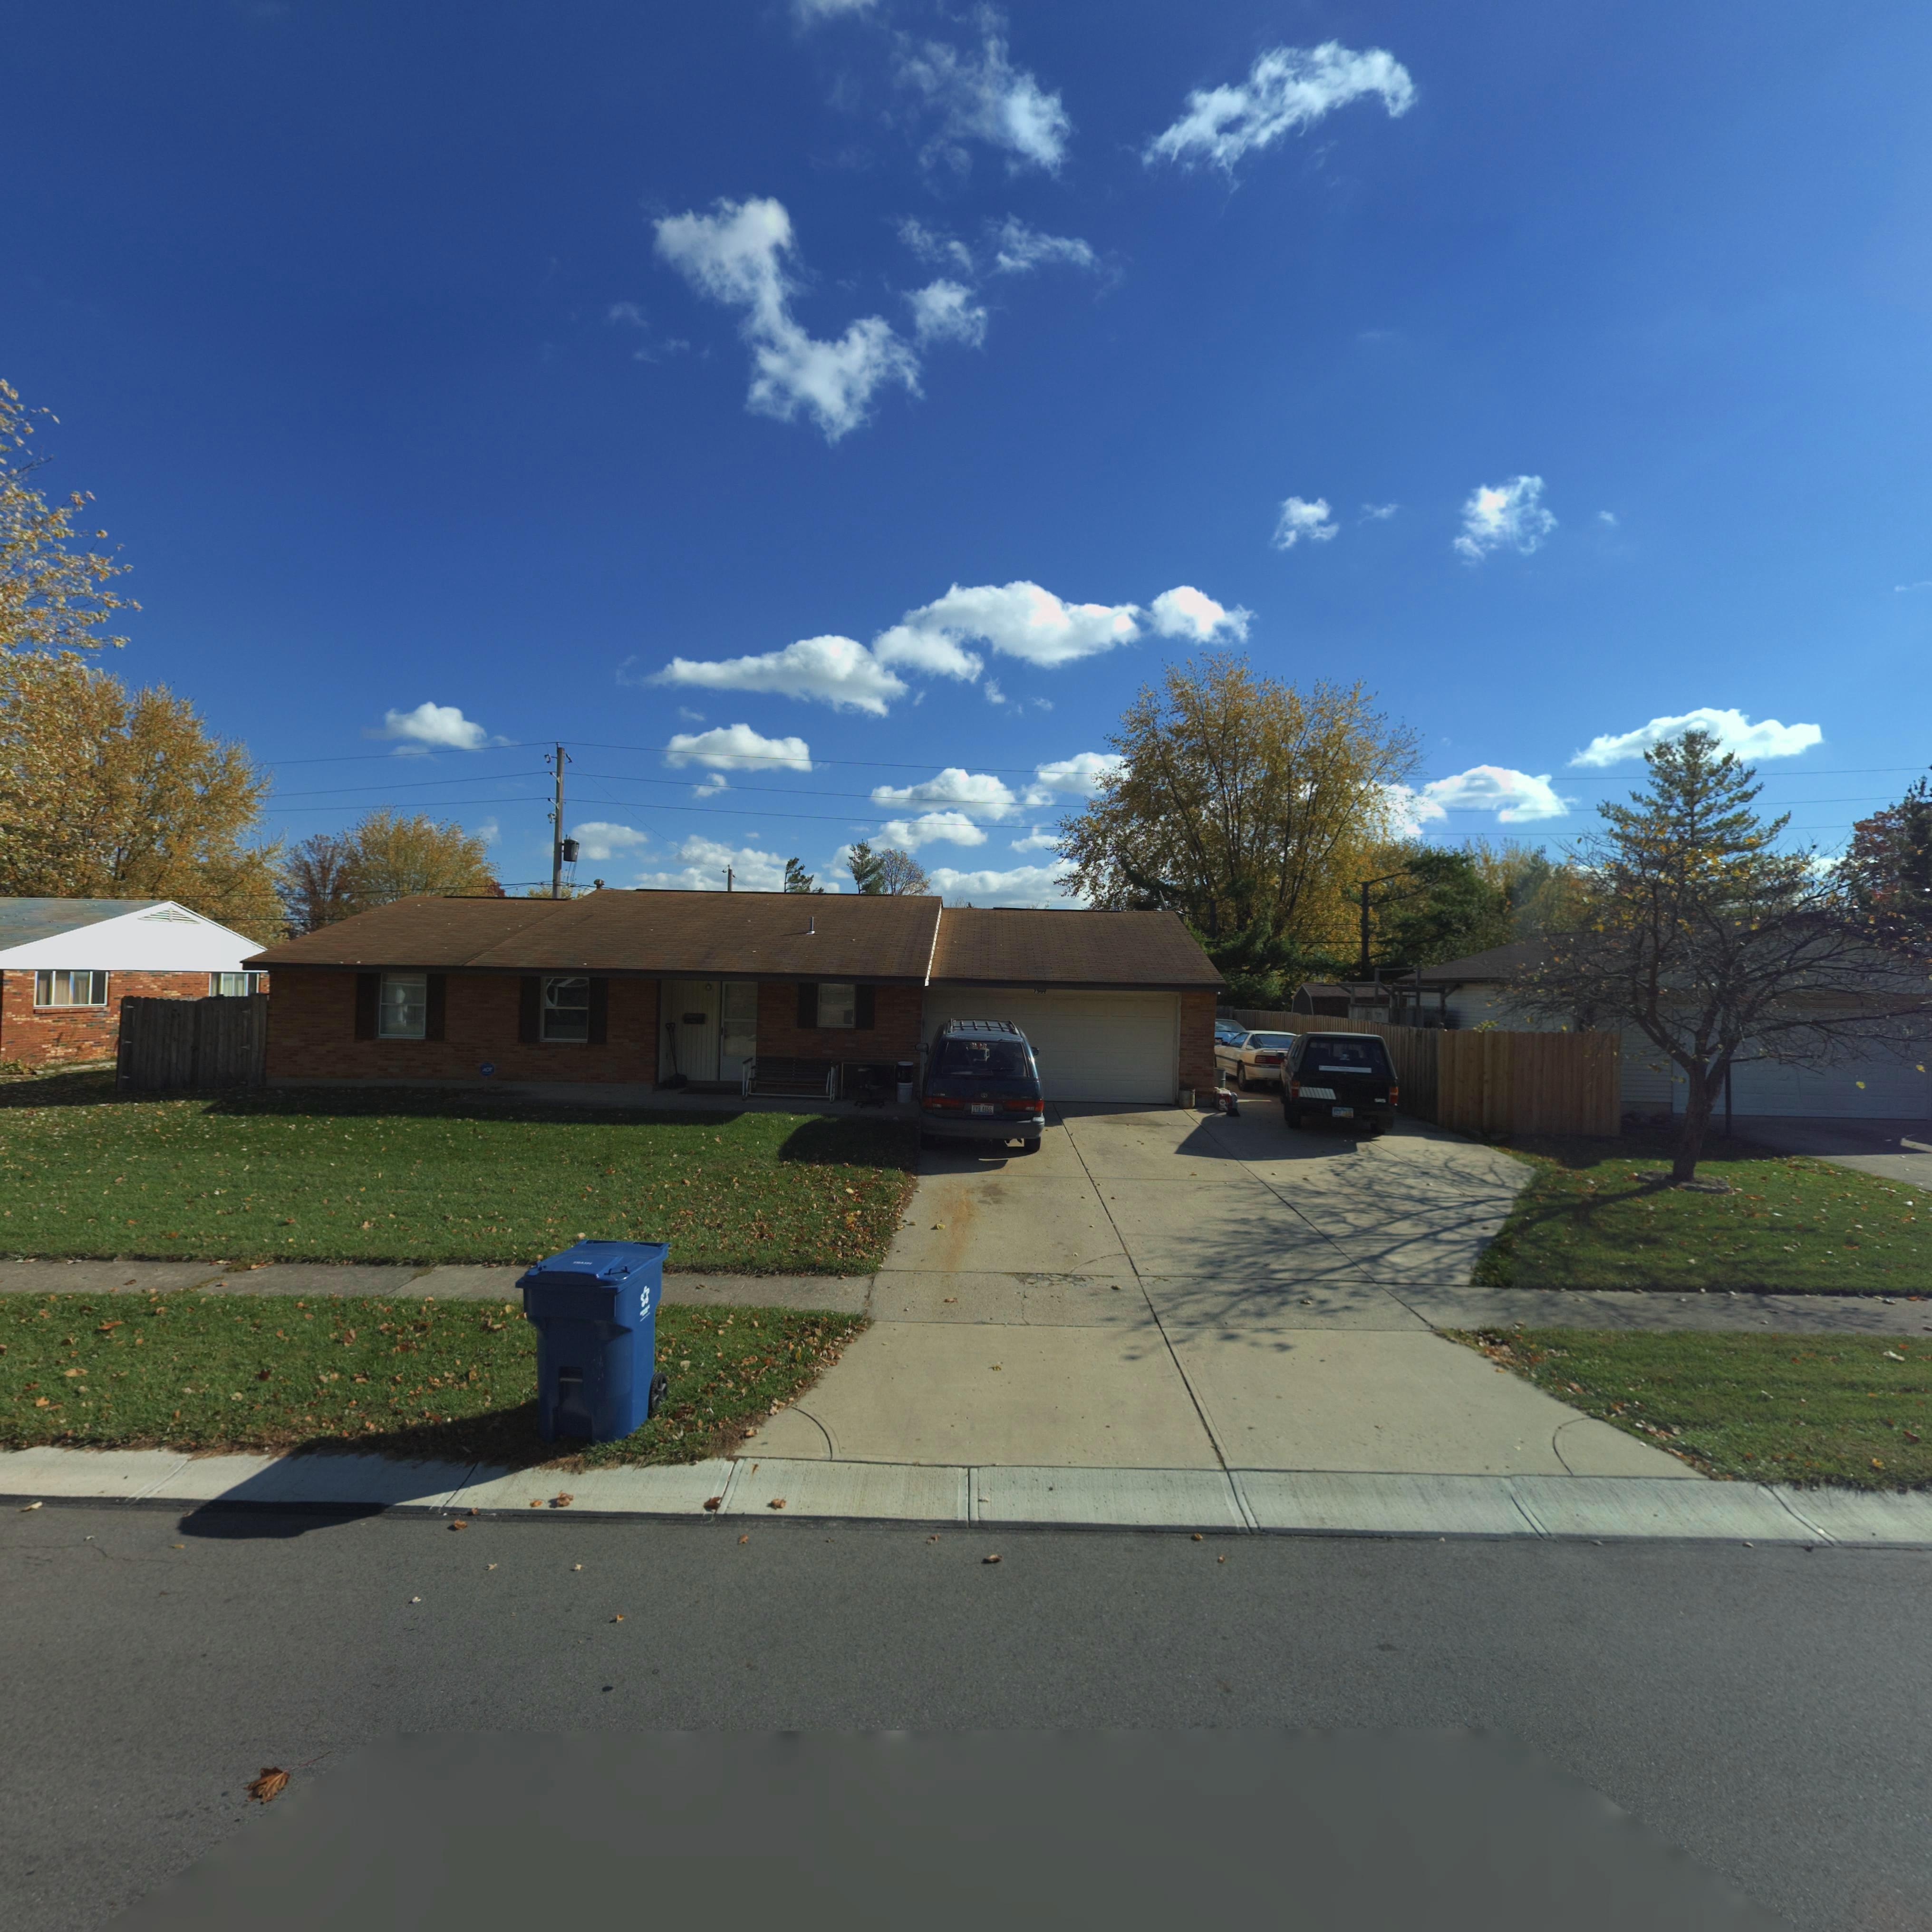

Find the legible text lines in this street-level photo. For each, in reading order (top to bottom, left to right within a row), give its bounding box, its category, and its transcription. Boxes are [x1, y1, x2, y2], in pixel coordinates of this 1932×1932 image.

[1033, 988, 1037, 994] StreetNumber: 7